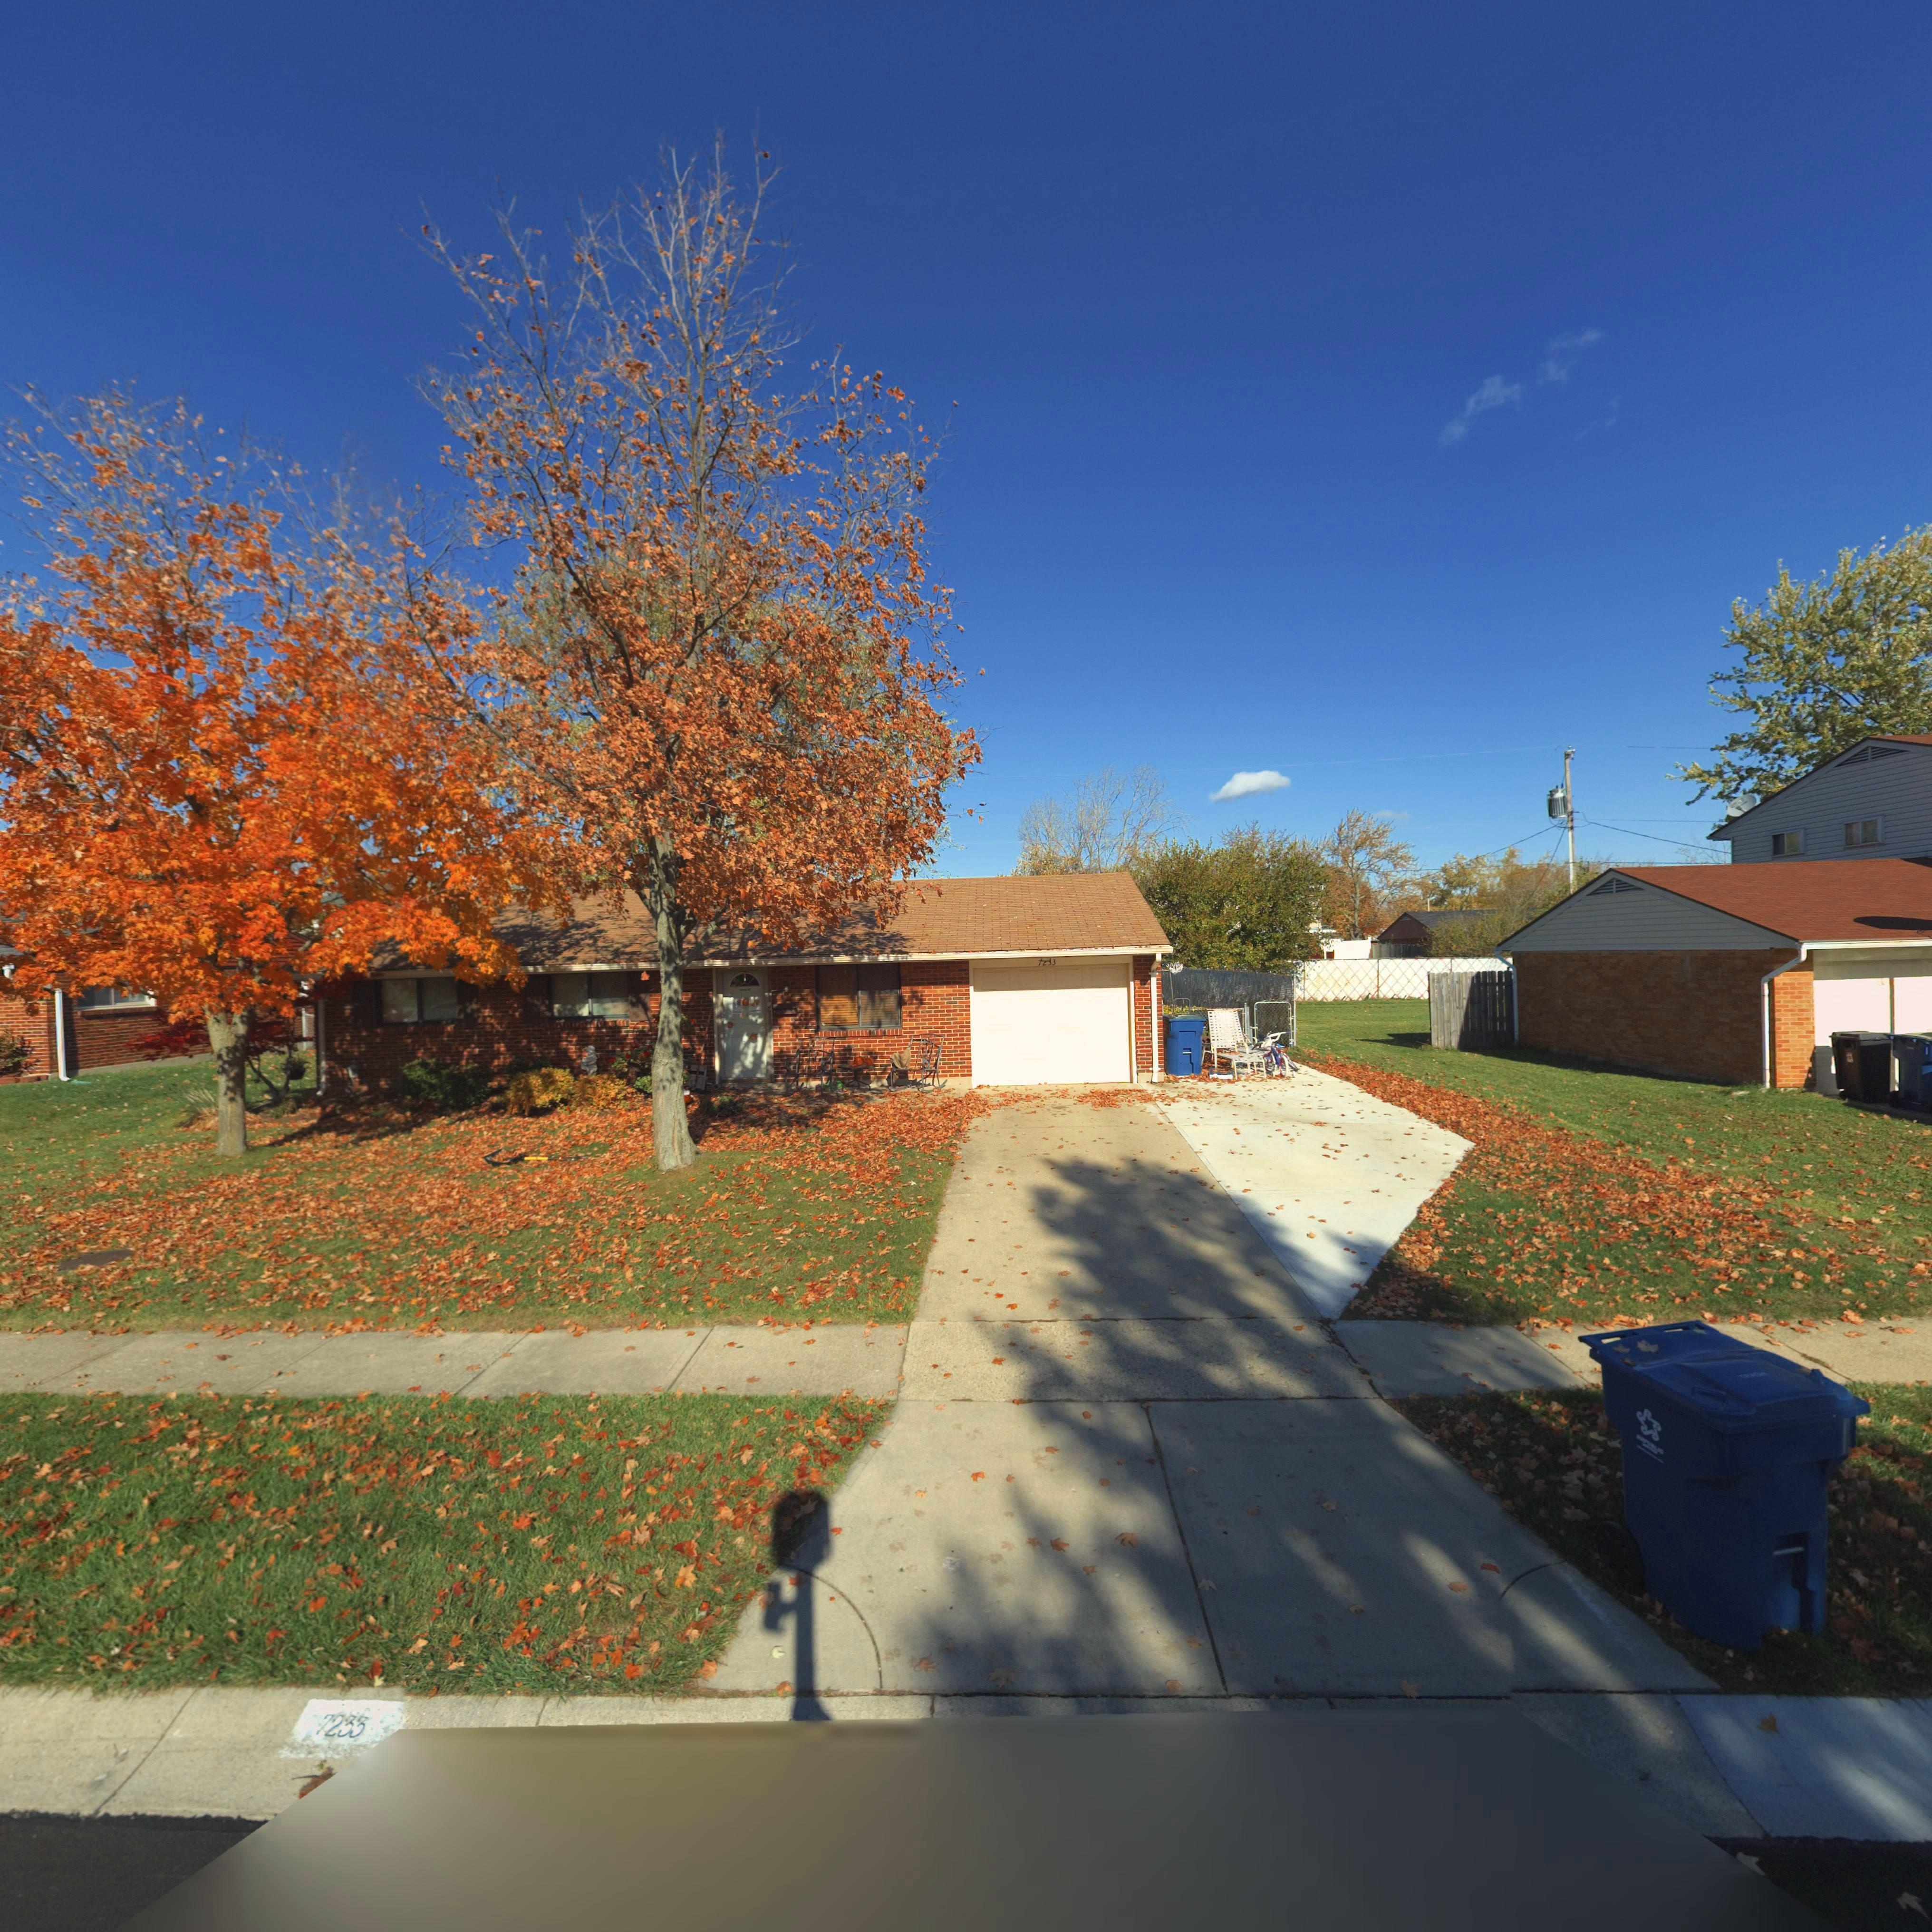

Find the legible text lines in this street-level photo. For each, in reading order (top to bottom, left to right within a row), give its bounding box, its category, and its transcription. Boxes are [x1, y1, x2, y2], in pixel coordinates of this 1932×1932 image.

[1051, 957, 1057, 966] StreetNumber: 3
[311, 1712, 371, 1741] StreetNumber: 7233